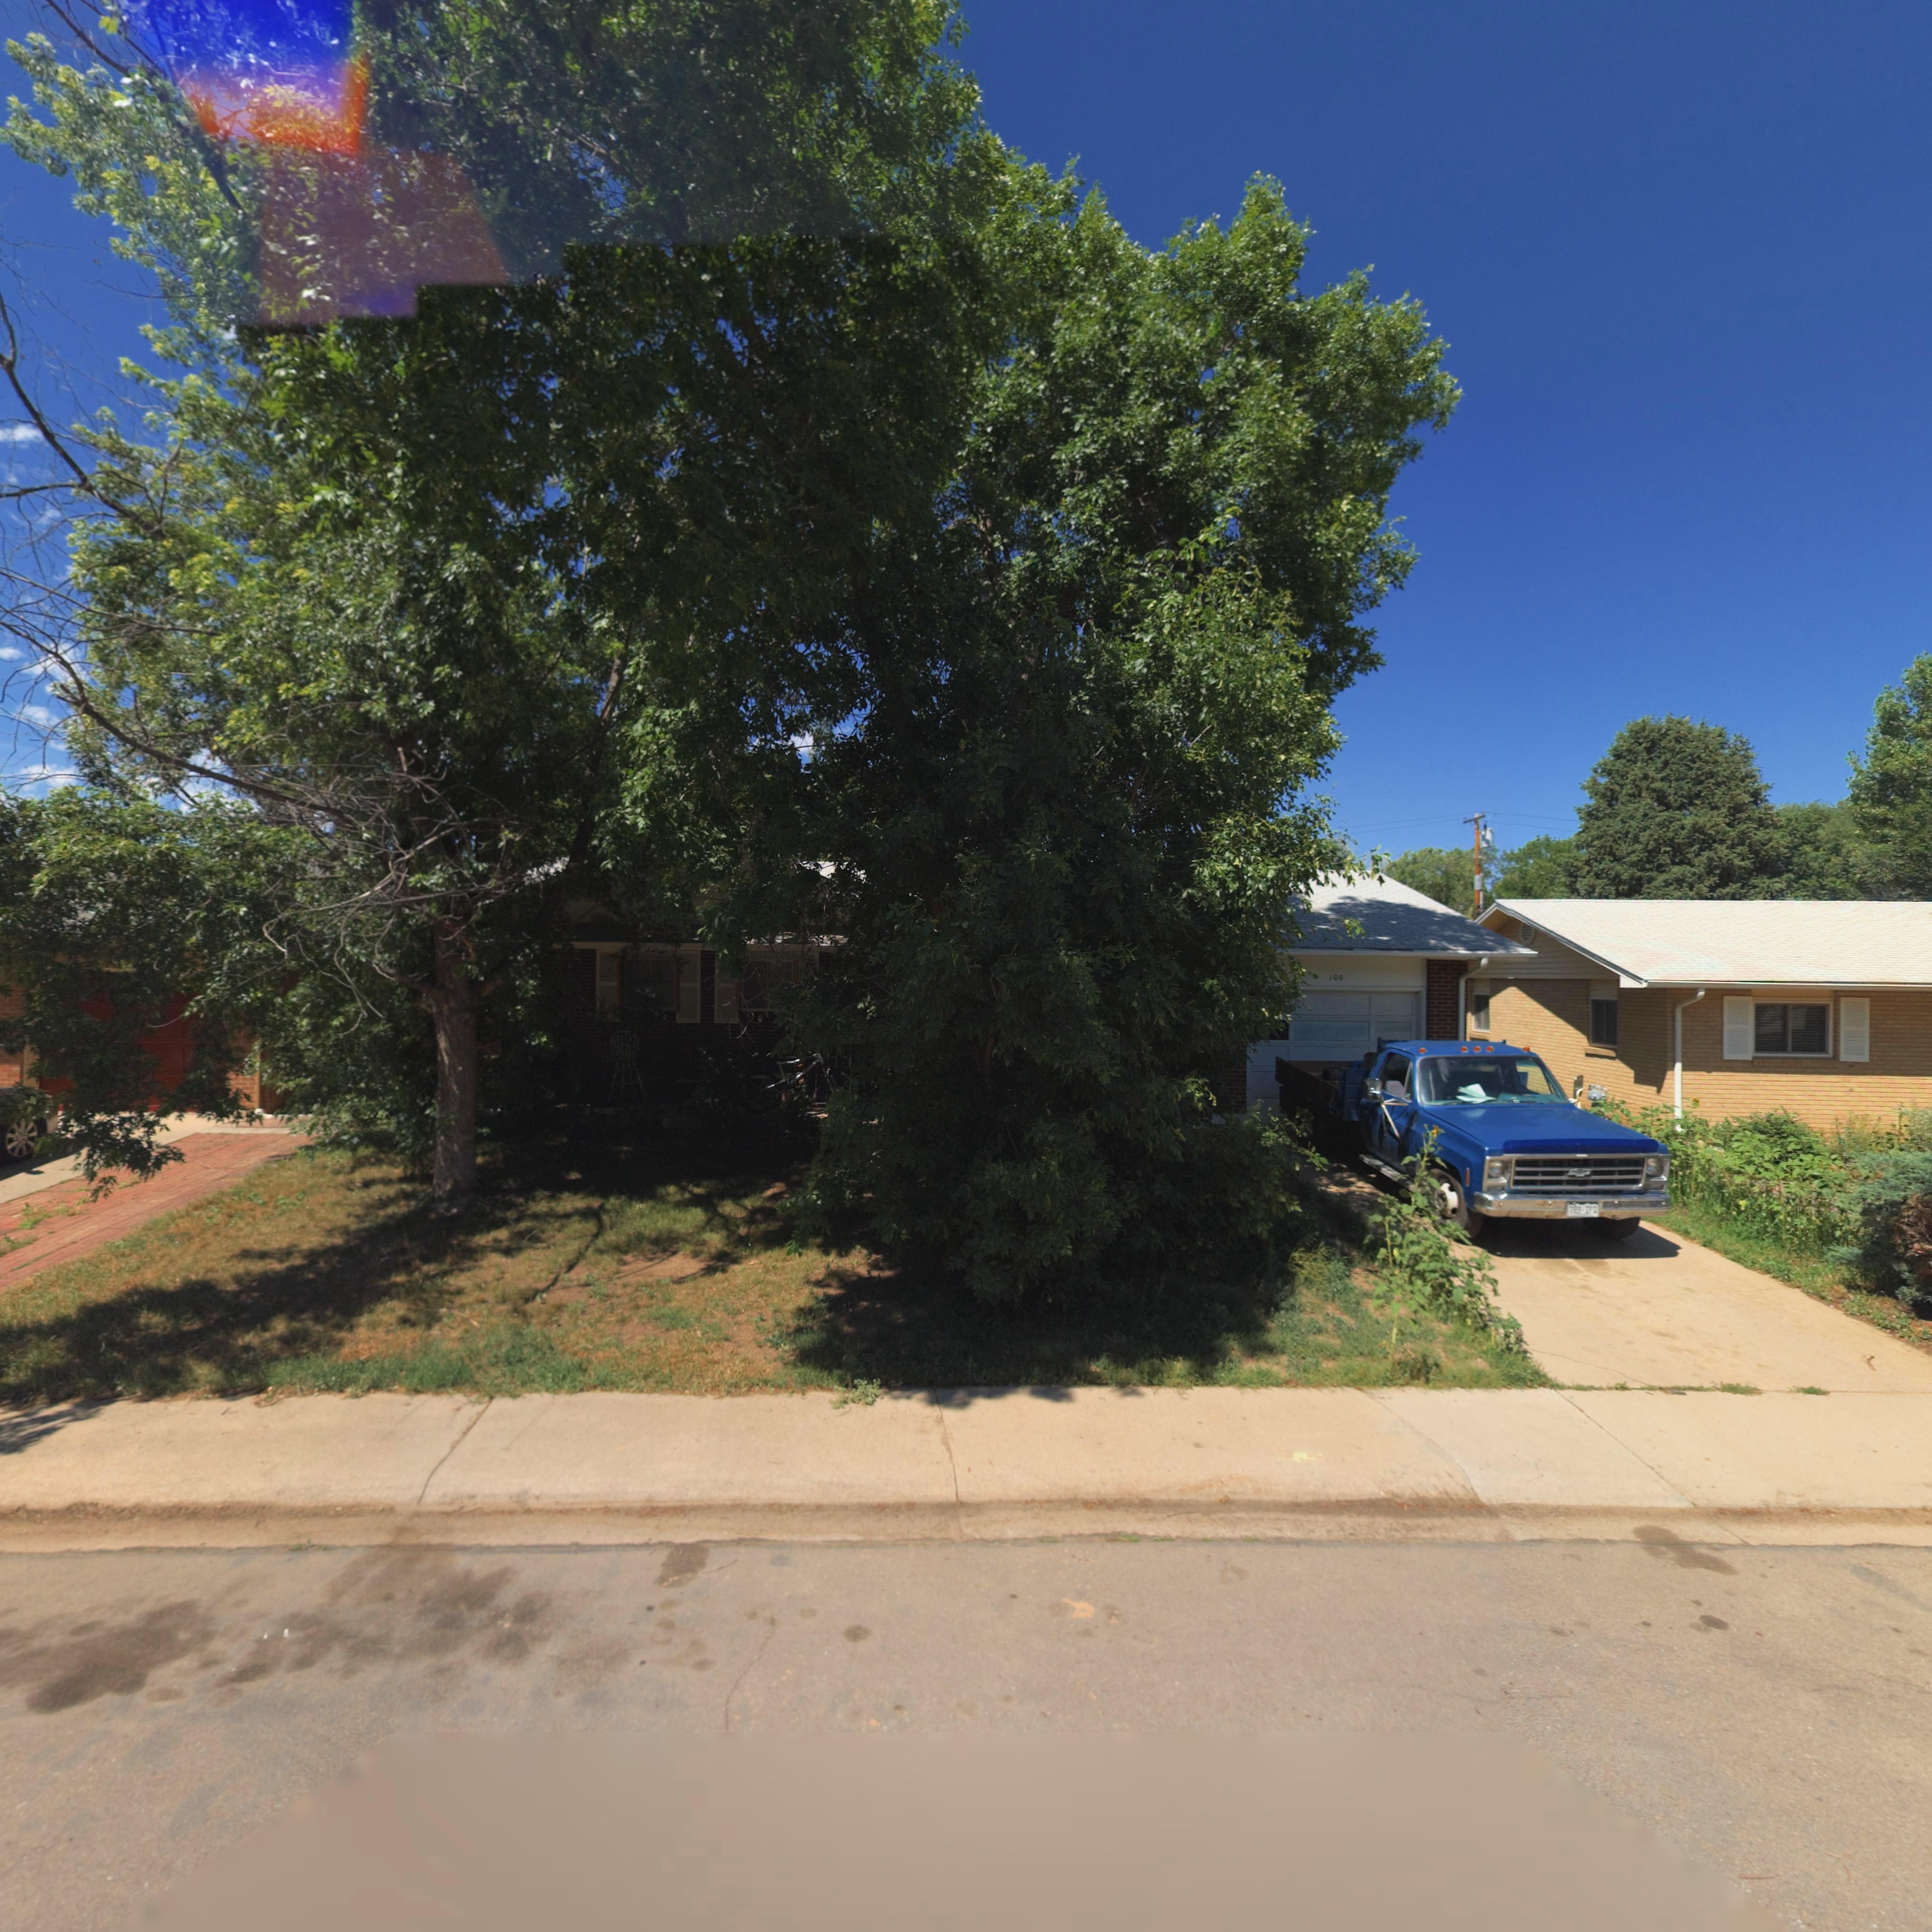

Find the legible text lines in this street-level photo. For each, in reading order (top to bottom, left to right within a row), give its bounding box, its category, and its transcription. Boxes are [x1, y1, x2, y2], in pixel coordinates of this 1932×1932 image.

[1329, 974, 1343, 980] StreetNumber: 100